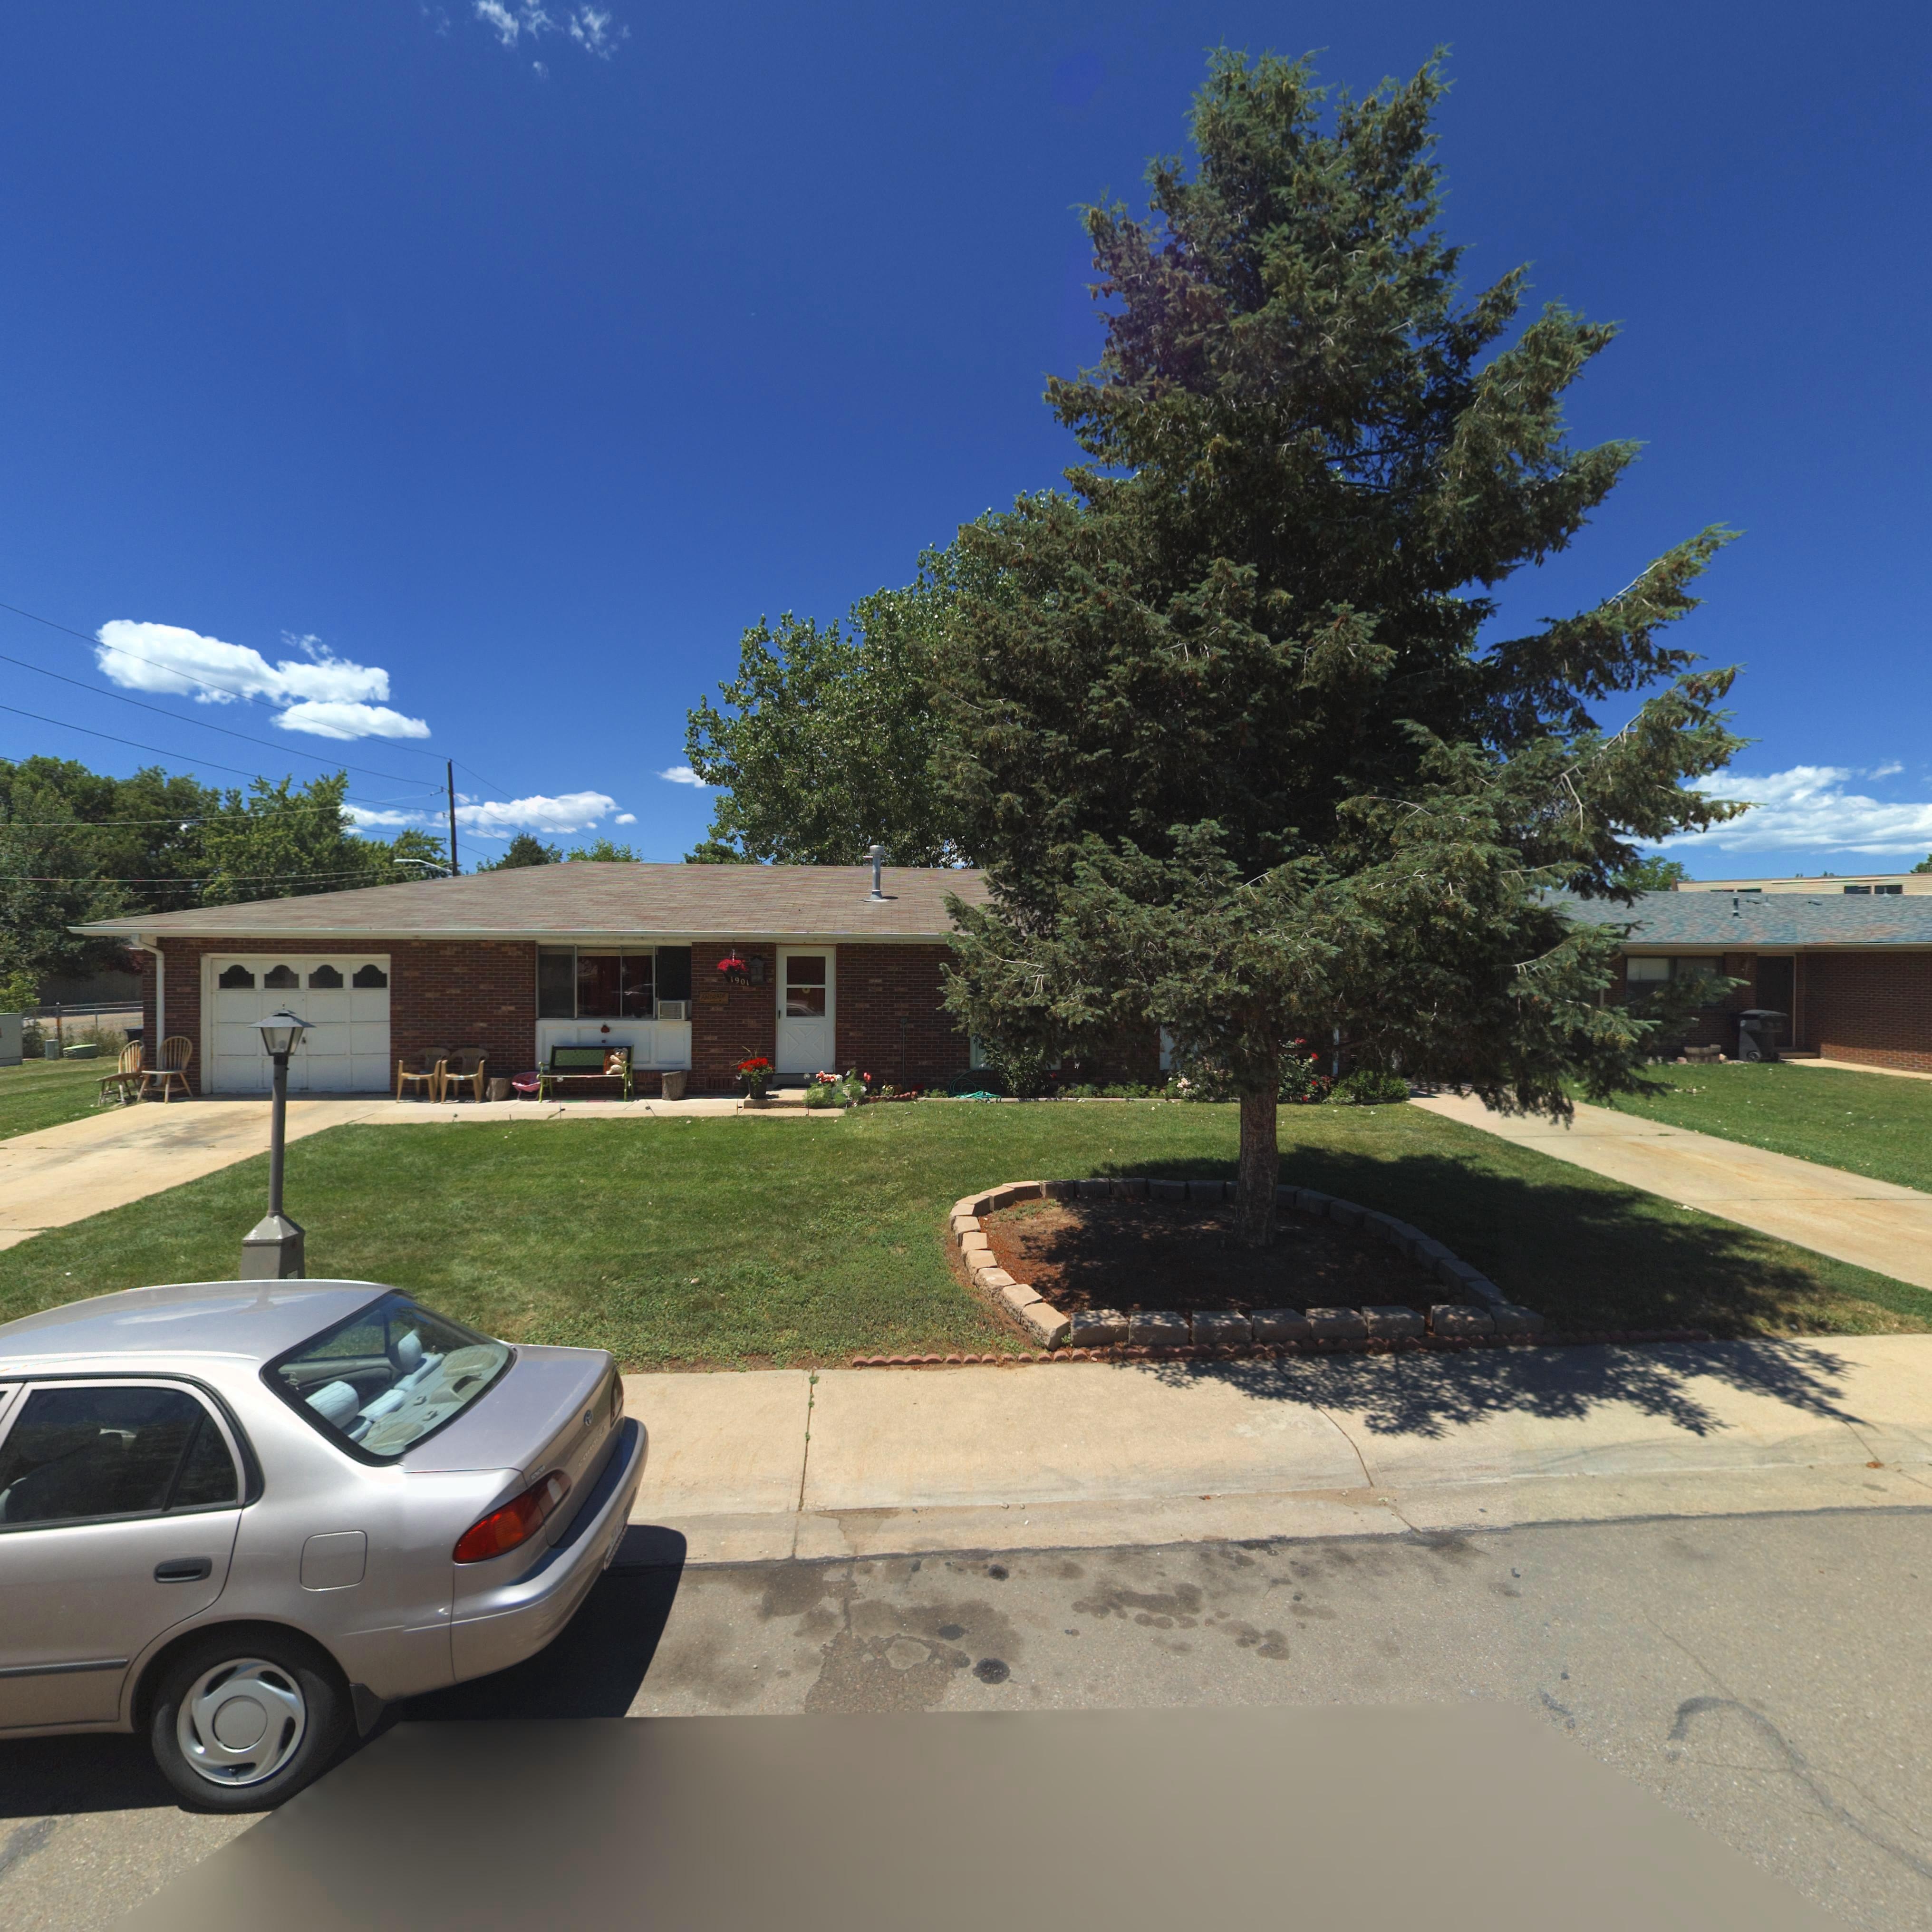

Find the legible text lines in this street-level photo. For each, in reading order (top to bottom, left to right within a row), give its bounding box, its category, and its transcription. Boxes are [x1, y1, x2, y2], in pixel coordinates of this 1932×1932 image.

[731, 976, 749, 986] StreetNumber: 1901